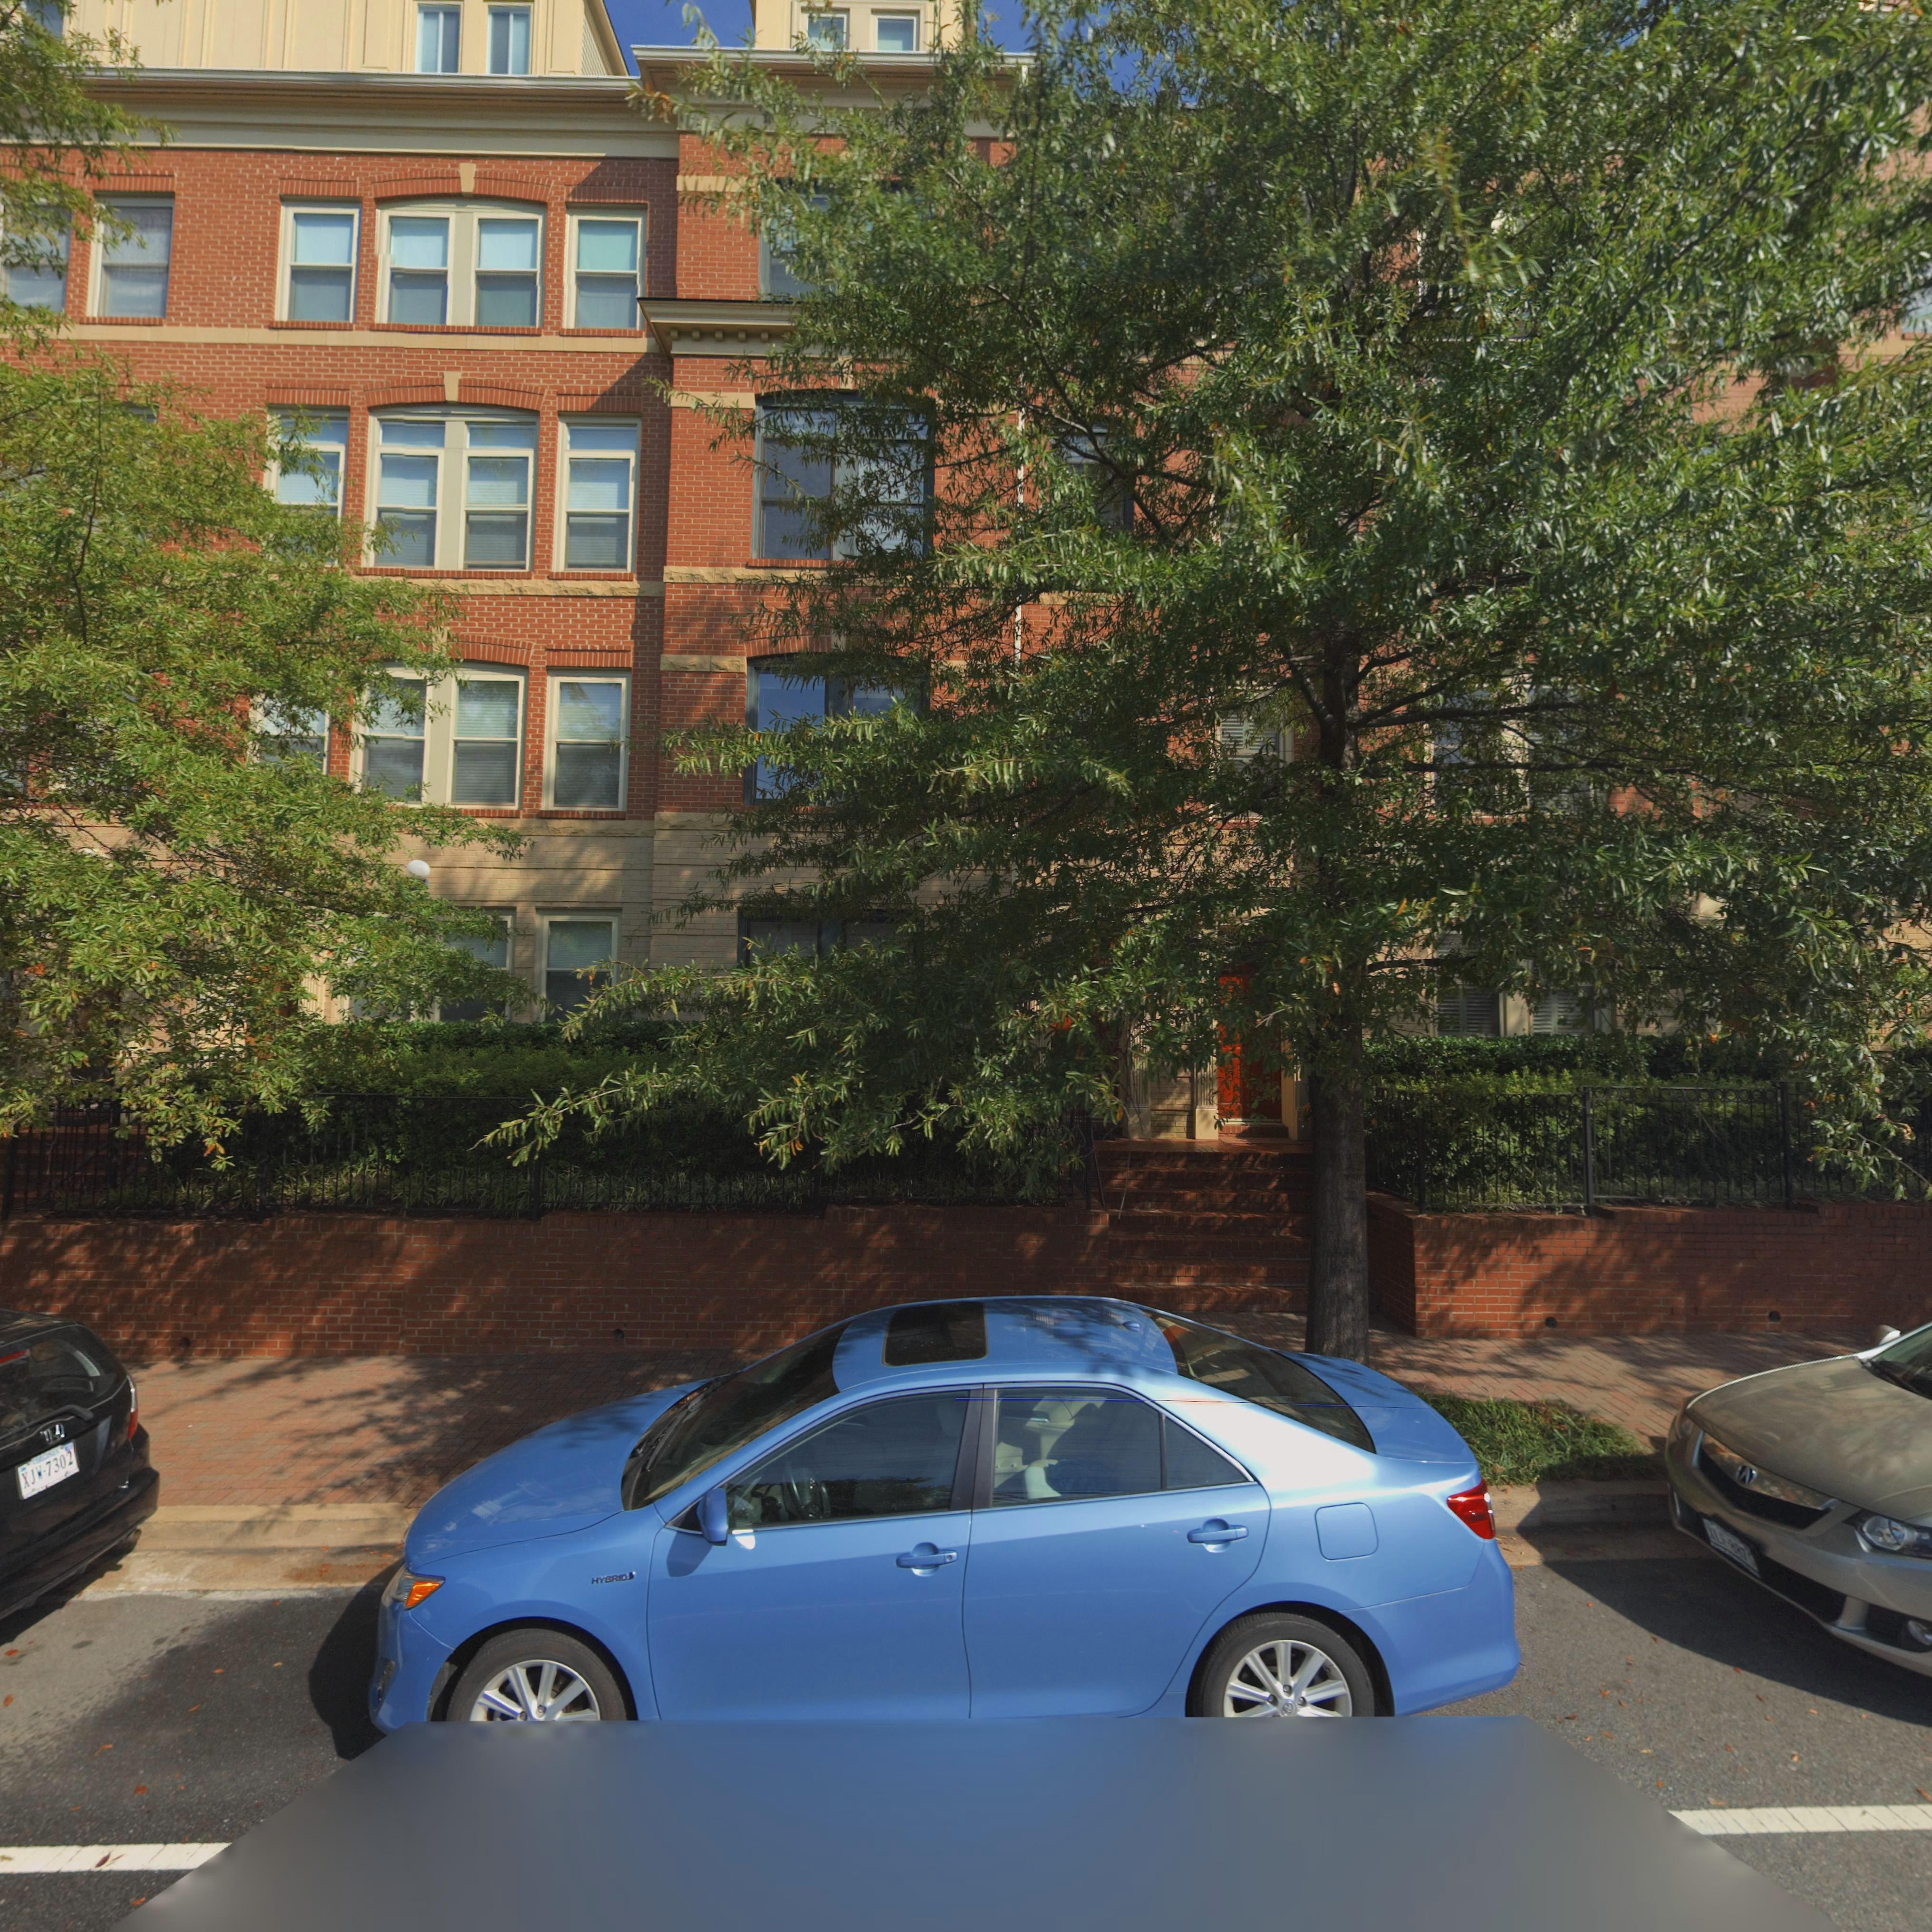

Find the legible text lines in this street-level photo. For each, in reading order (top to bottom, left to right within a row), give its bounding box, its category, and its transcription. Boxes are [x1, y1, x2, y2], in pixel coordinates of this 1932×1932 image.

[20, 1449, 74, 1490] None: XJW*7302
[1707, 1525, 1758, 1569] None: XLF*8875
[591, 1573, 629, 1585] None: HYBRID